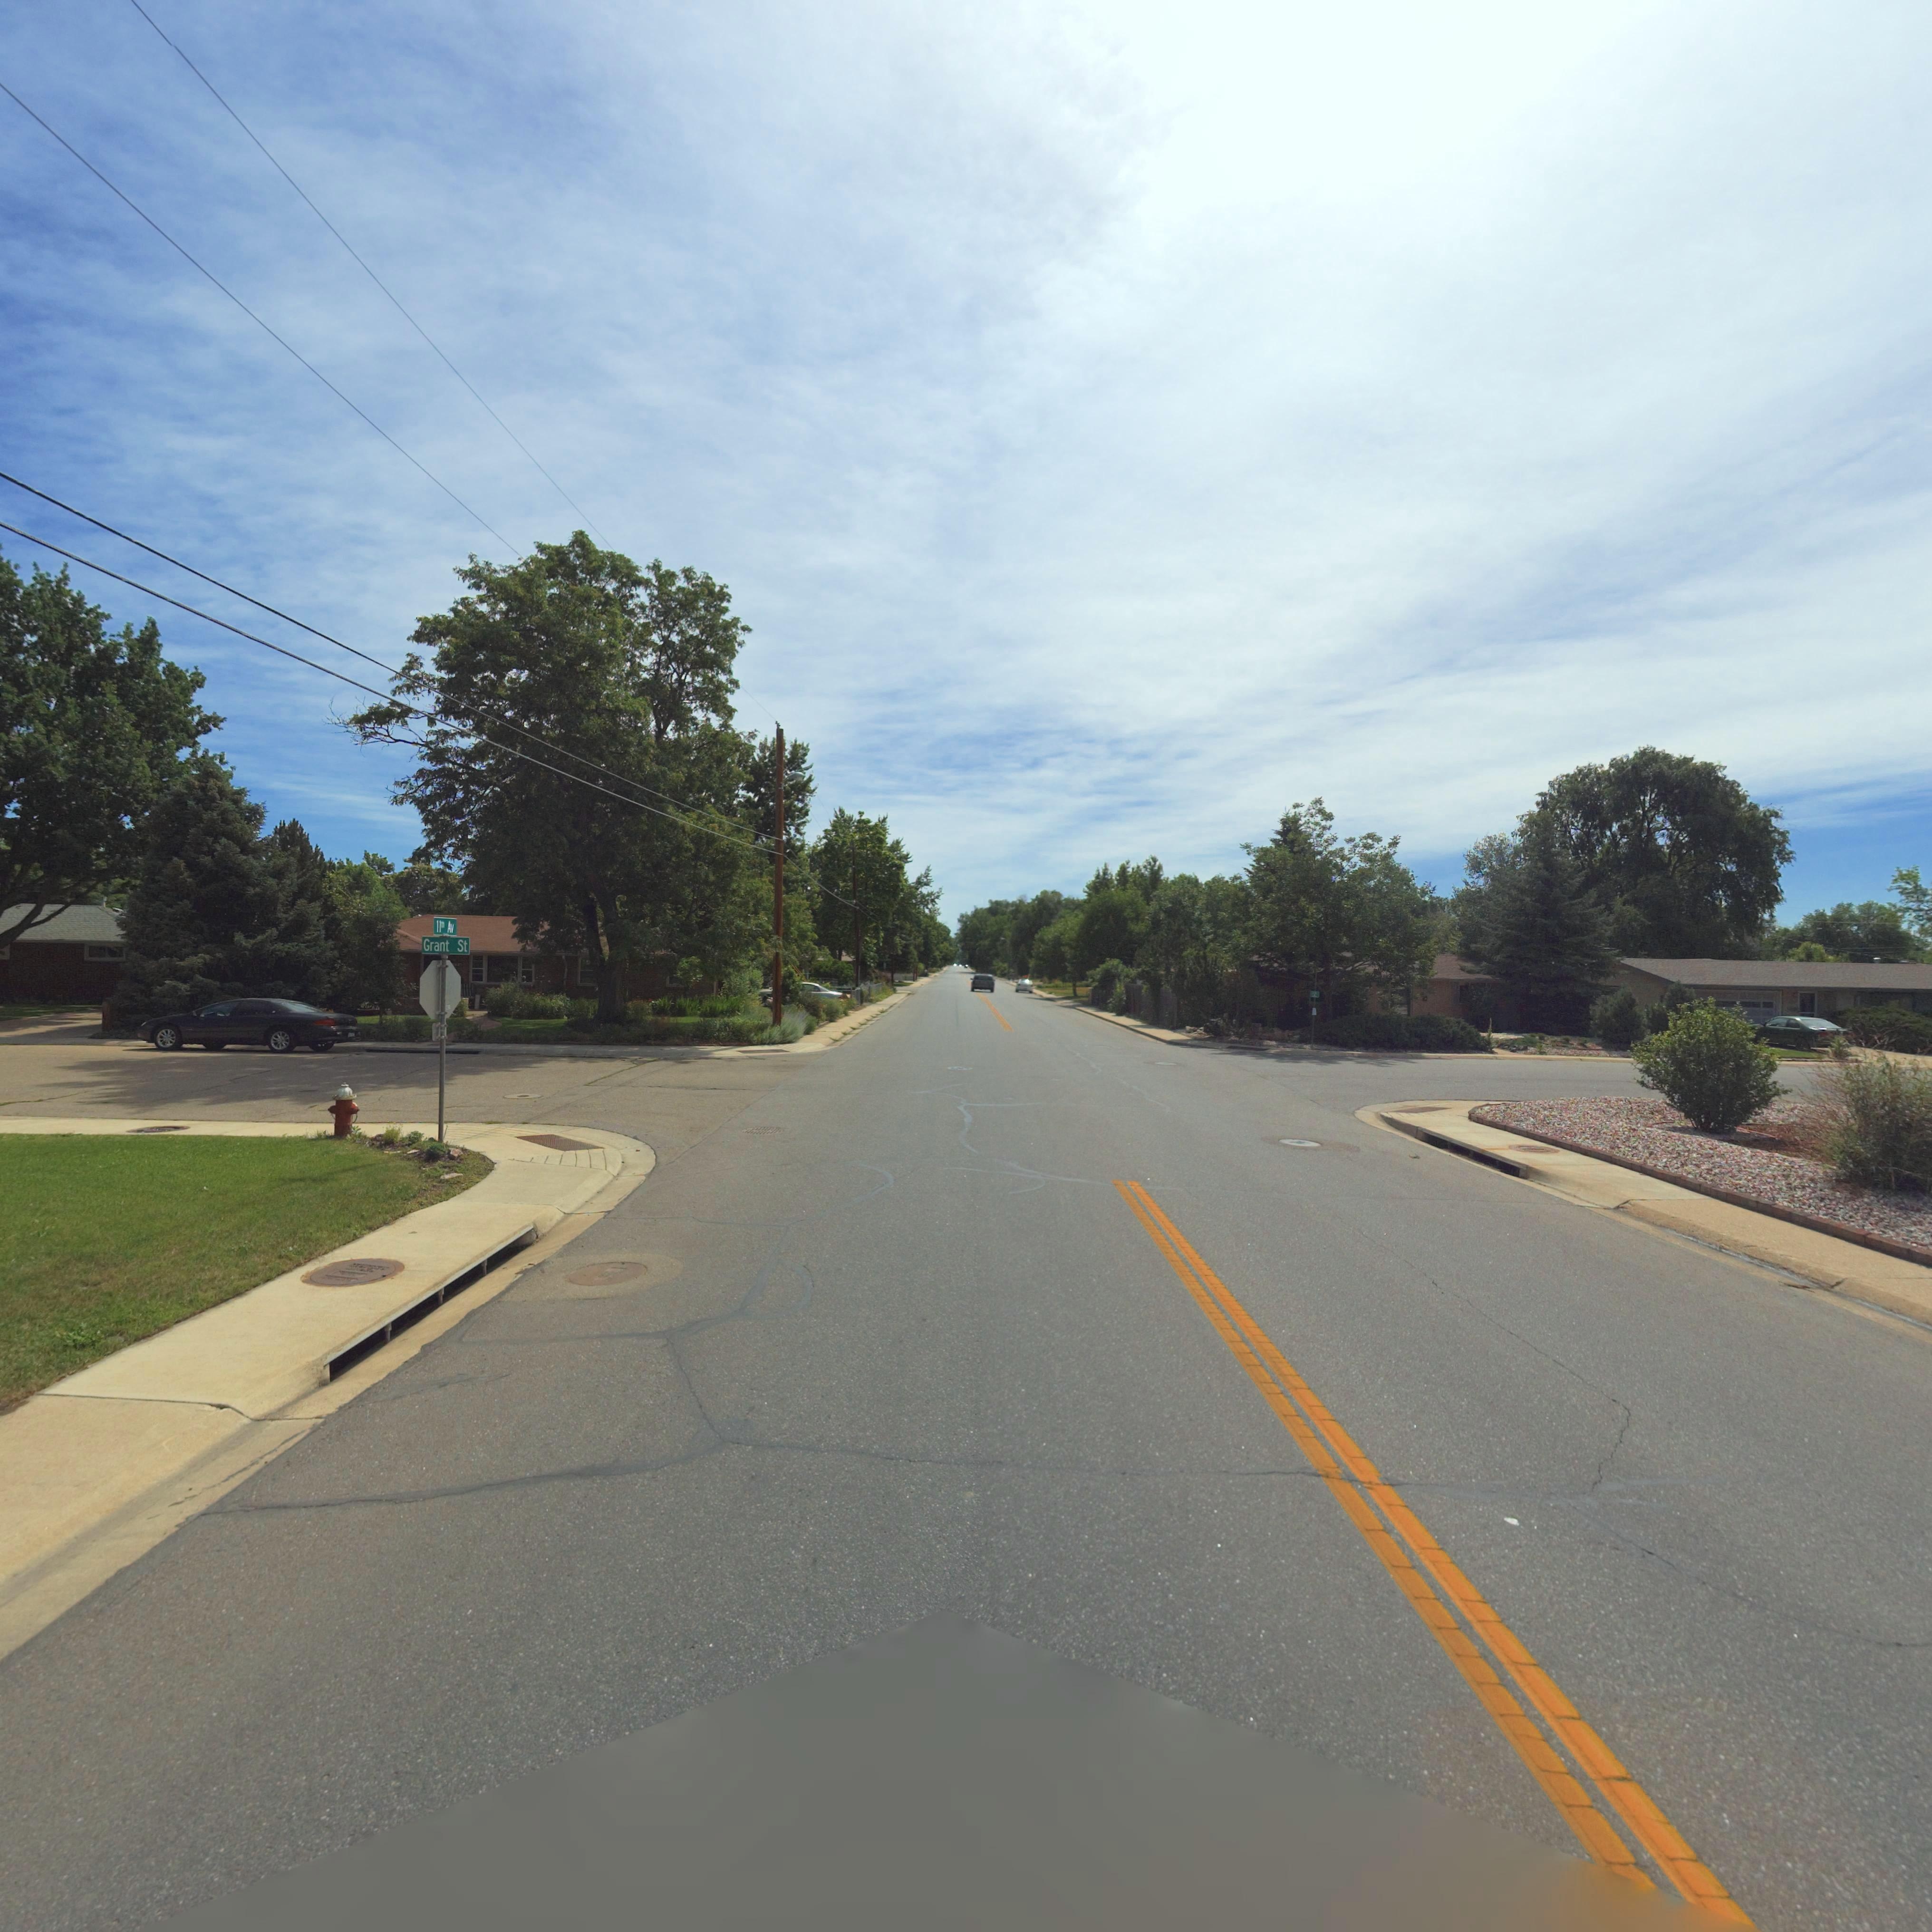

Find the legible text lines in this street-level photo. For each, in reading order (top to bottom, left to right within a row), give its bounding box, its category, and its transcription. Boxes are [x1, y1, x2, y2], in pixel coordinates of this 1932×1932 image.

[435, 919, 455, 933] StreetName: 11t* Av
[423, 938, 467, 953] StreetName: Grant St